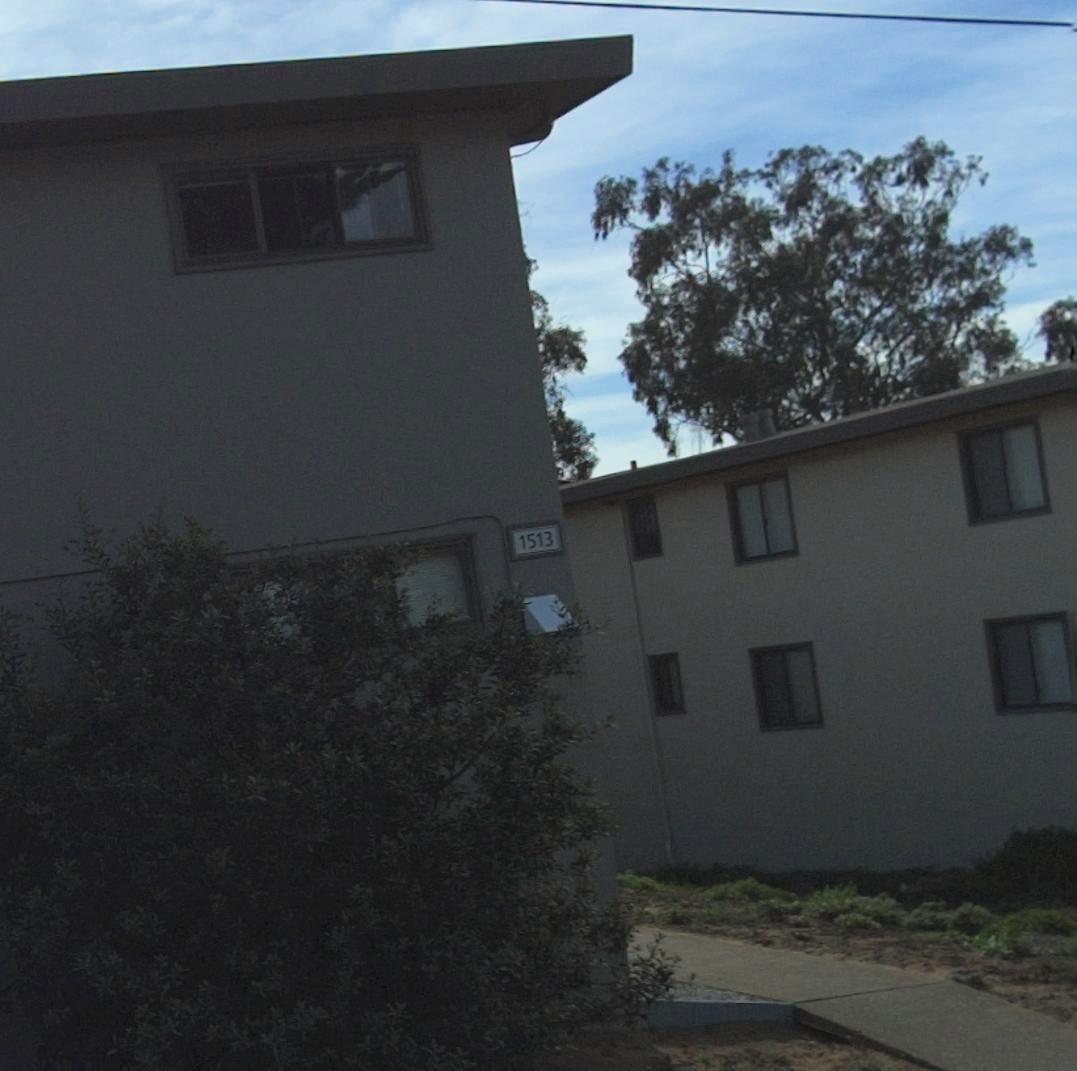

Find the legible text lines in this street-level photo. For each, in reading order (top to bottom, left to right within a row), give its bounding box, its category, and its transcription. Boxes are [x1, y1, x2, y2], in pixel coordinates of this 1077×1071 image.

[516, 528, 556, 552] StreetNumber: 1513